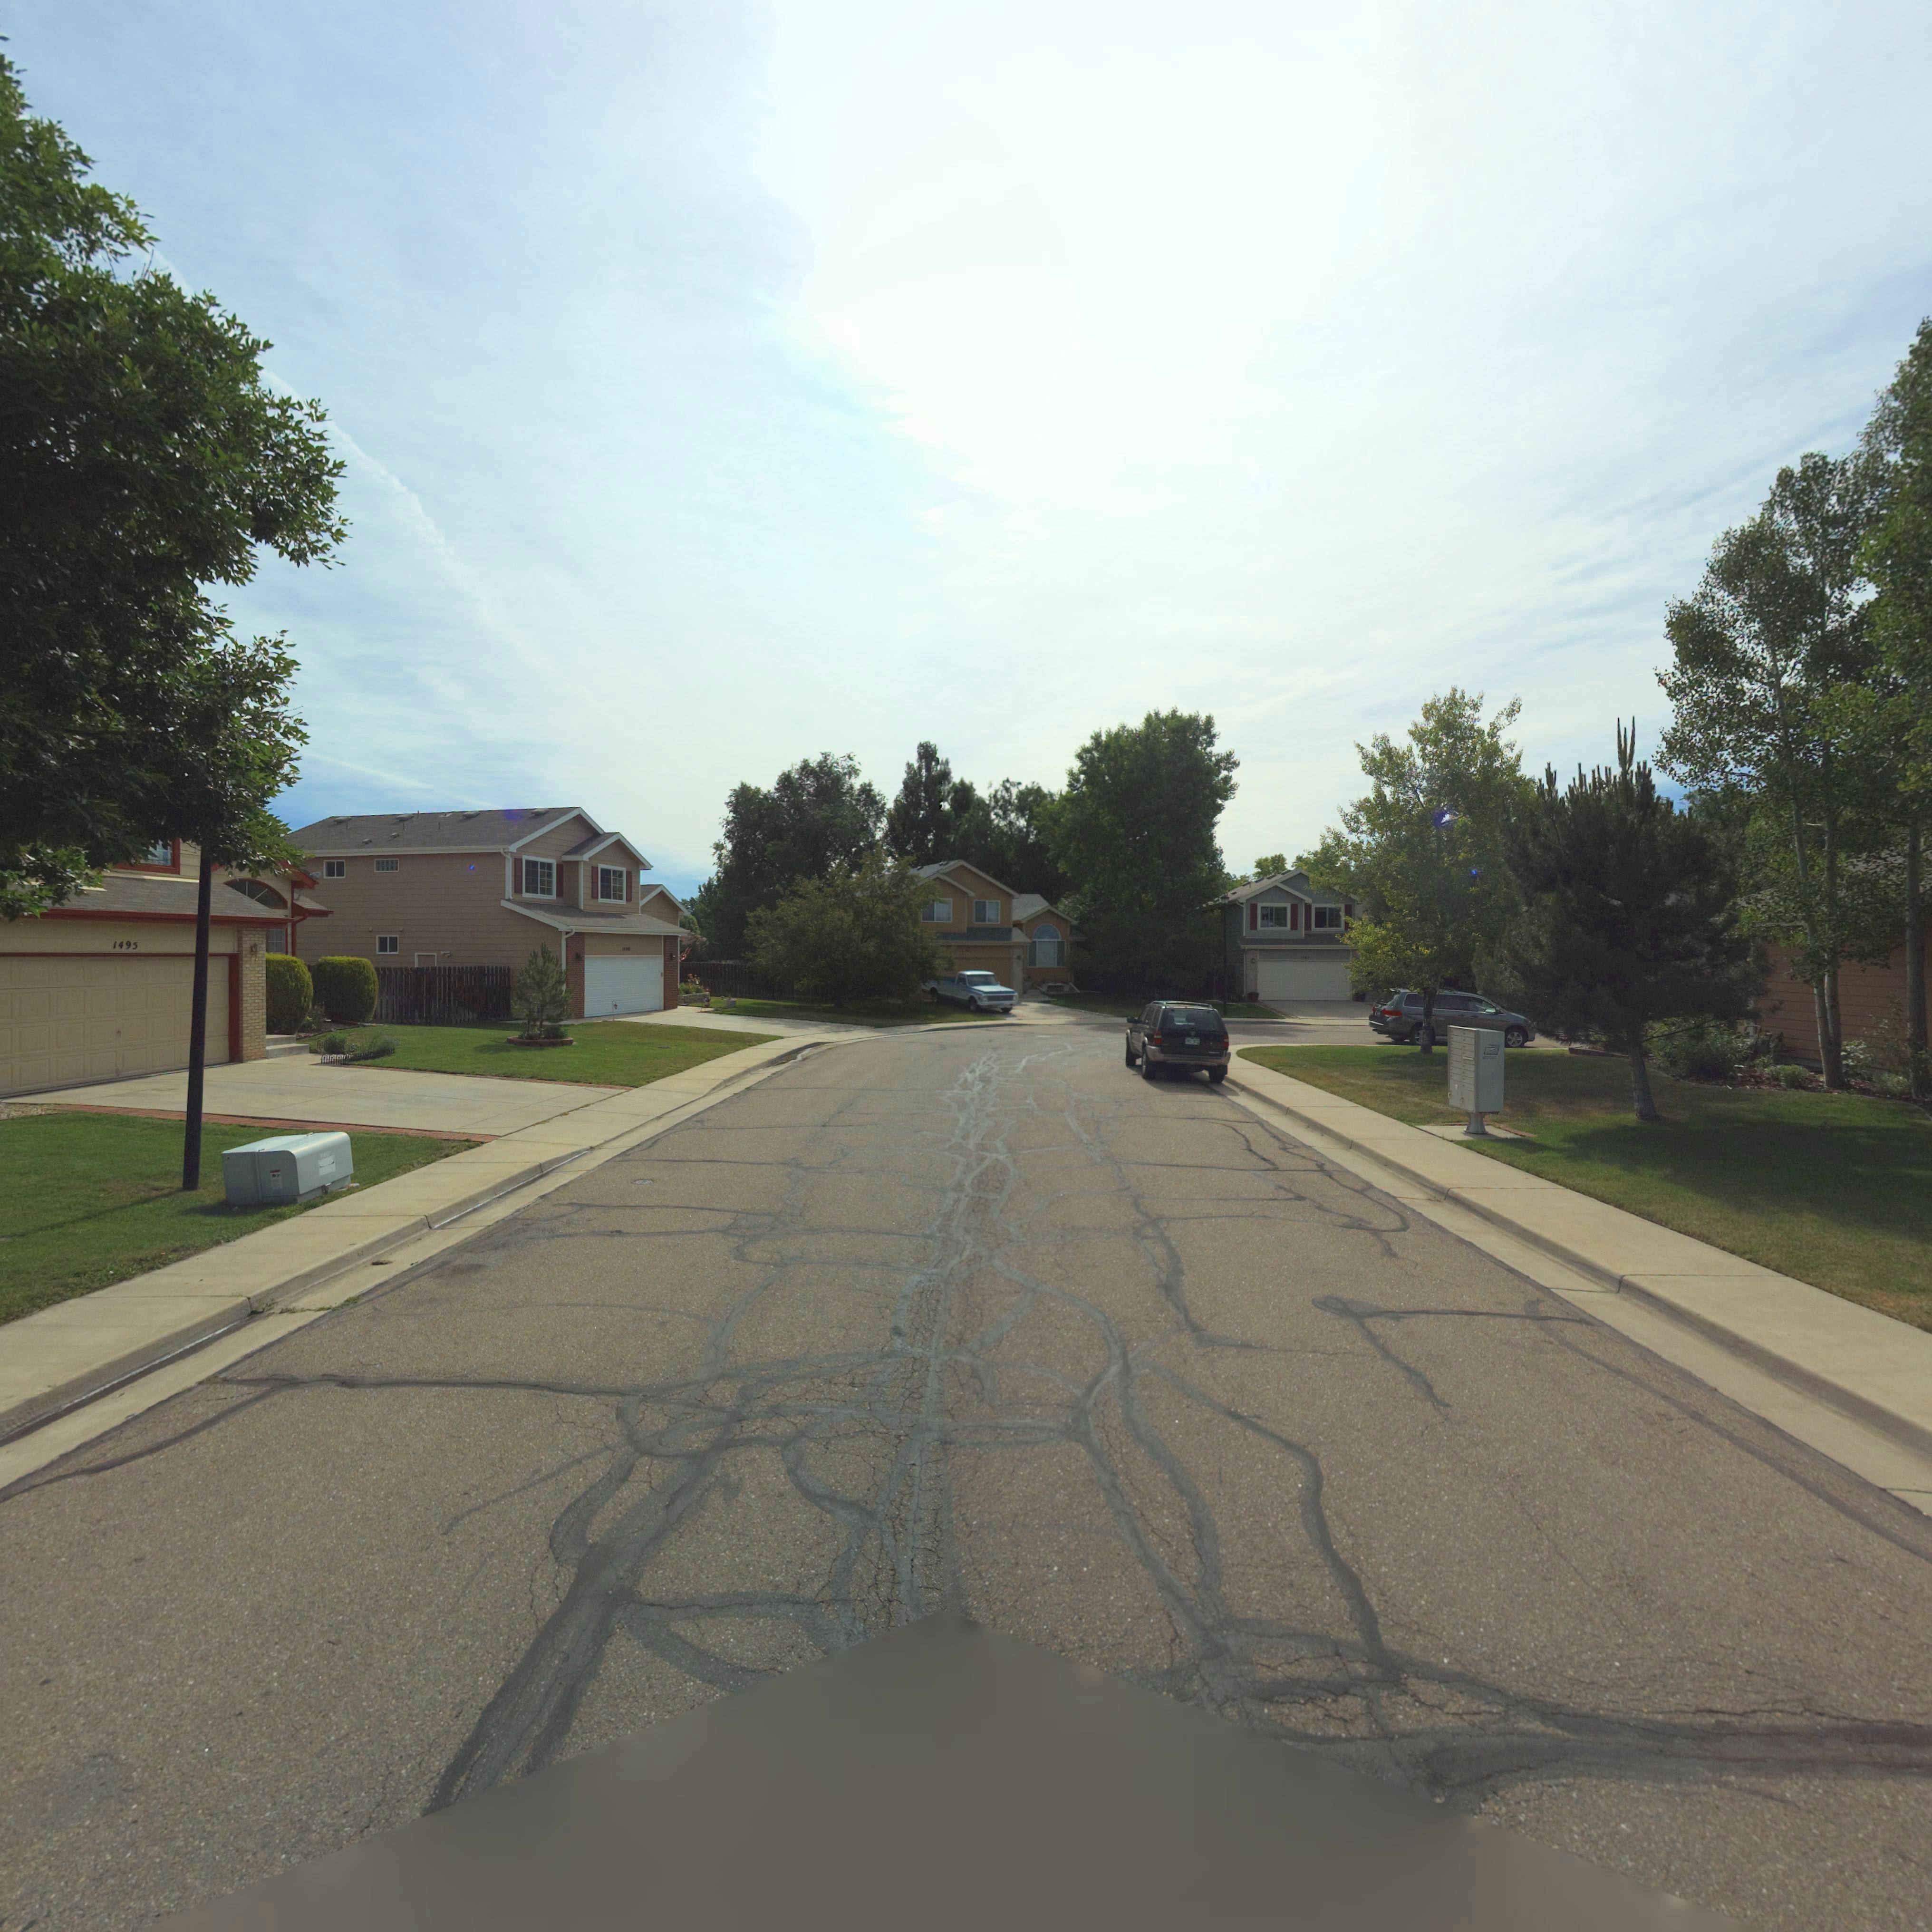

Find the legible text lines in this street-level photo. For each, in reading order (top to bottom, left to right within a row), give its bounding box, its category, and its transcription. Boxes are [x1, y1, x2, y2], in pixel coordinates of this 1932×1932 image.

[112, 940, 138, 950] StreetNumber: 1495
[621, 946, 630, 951] StreetNumber: 14**